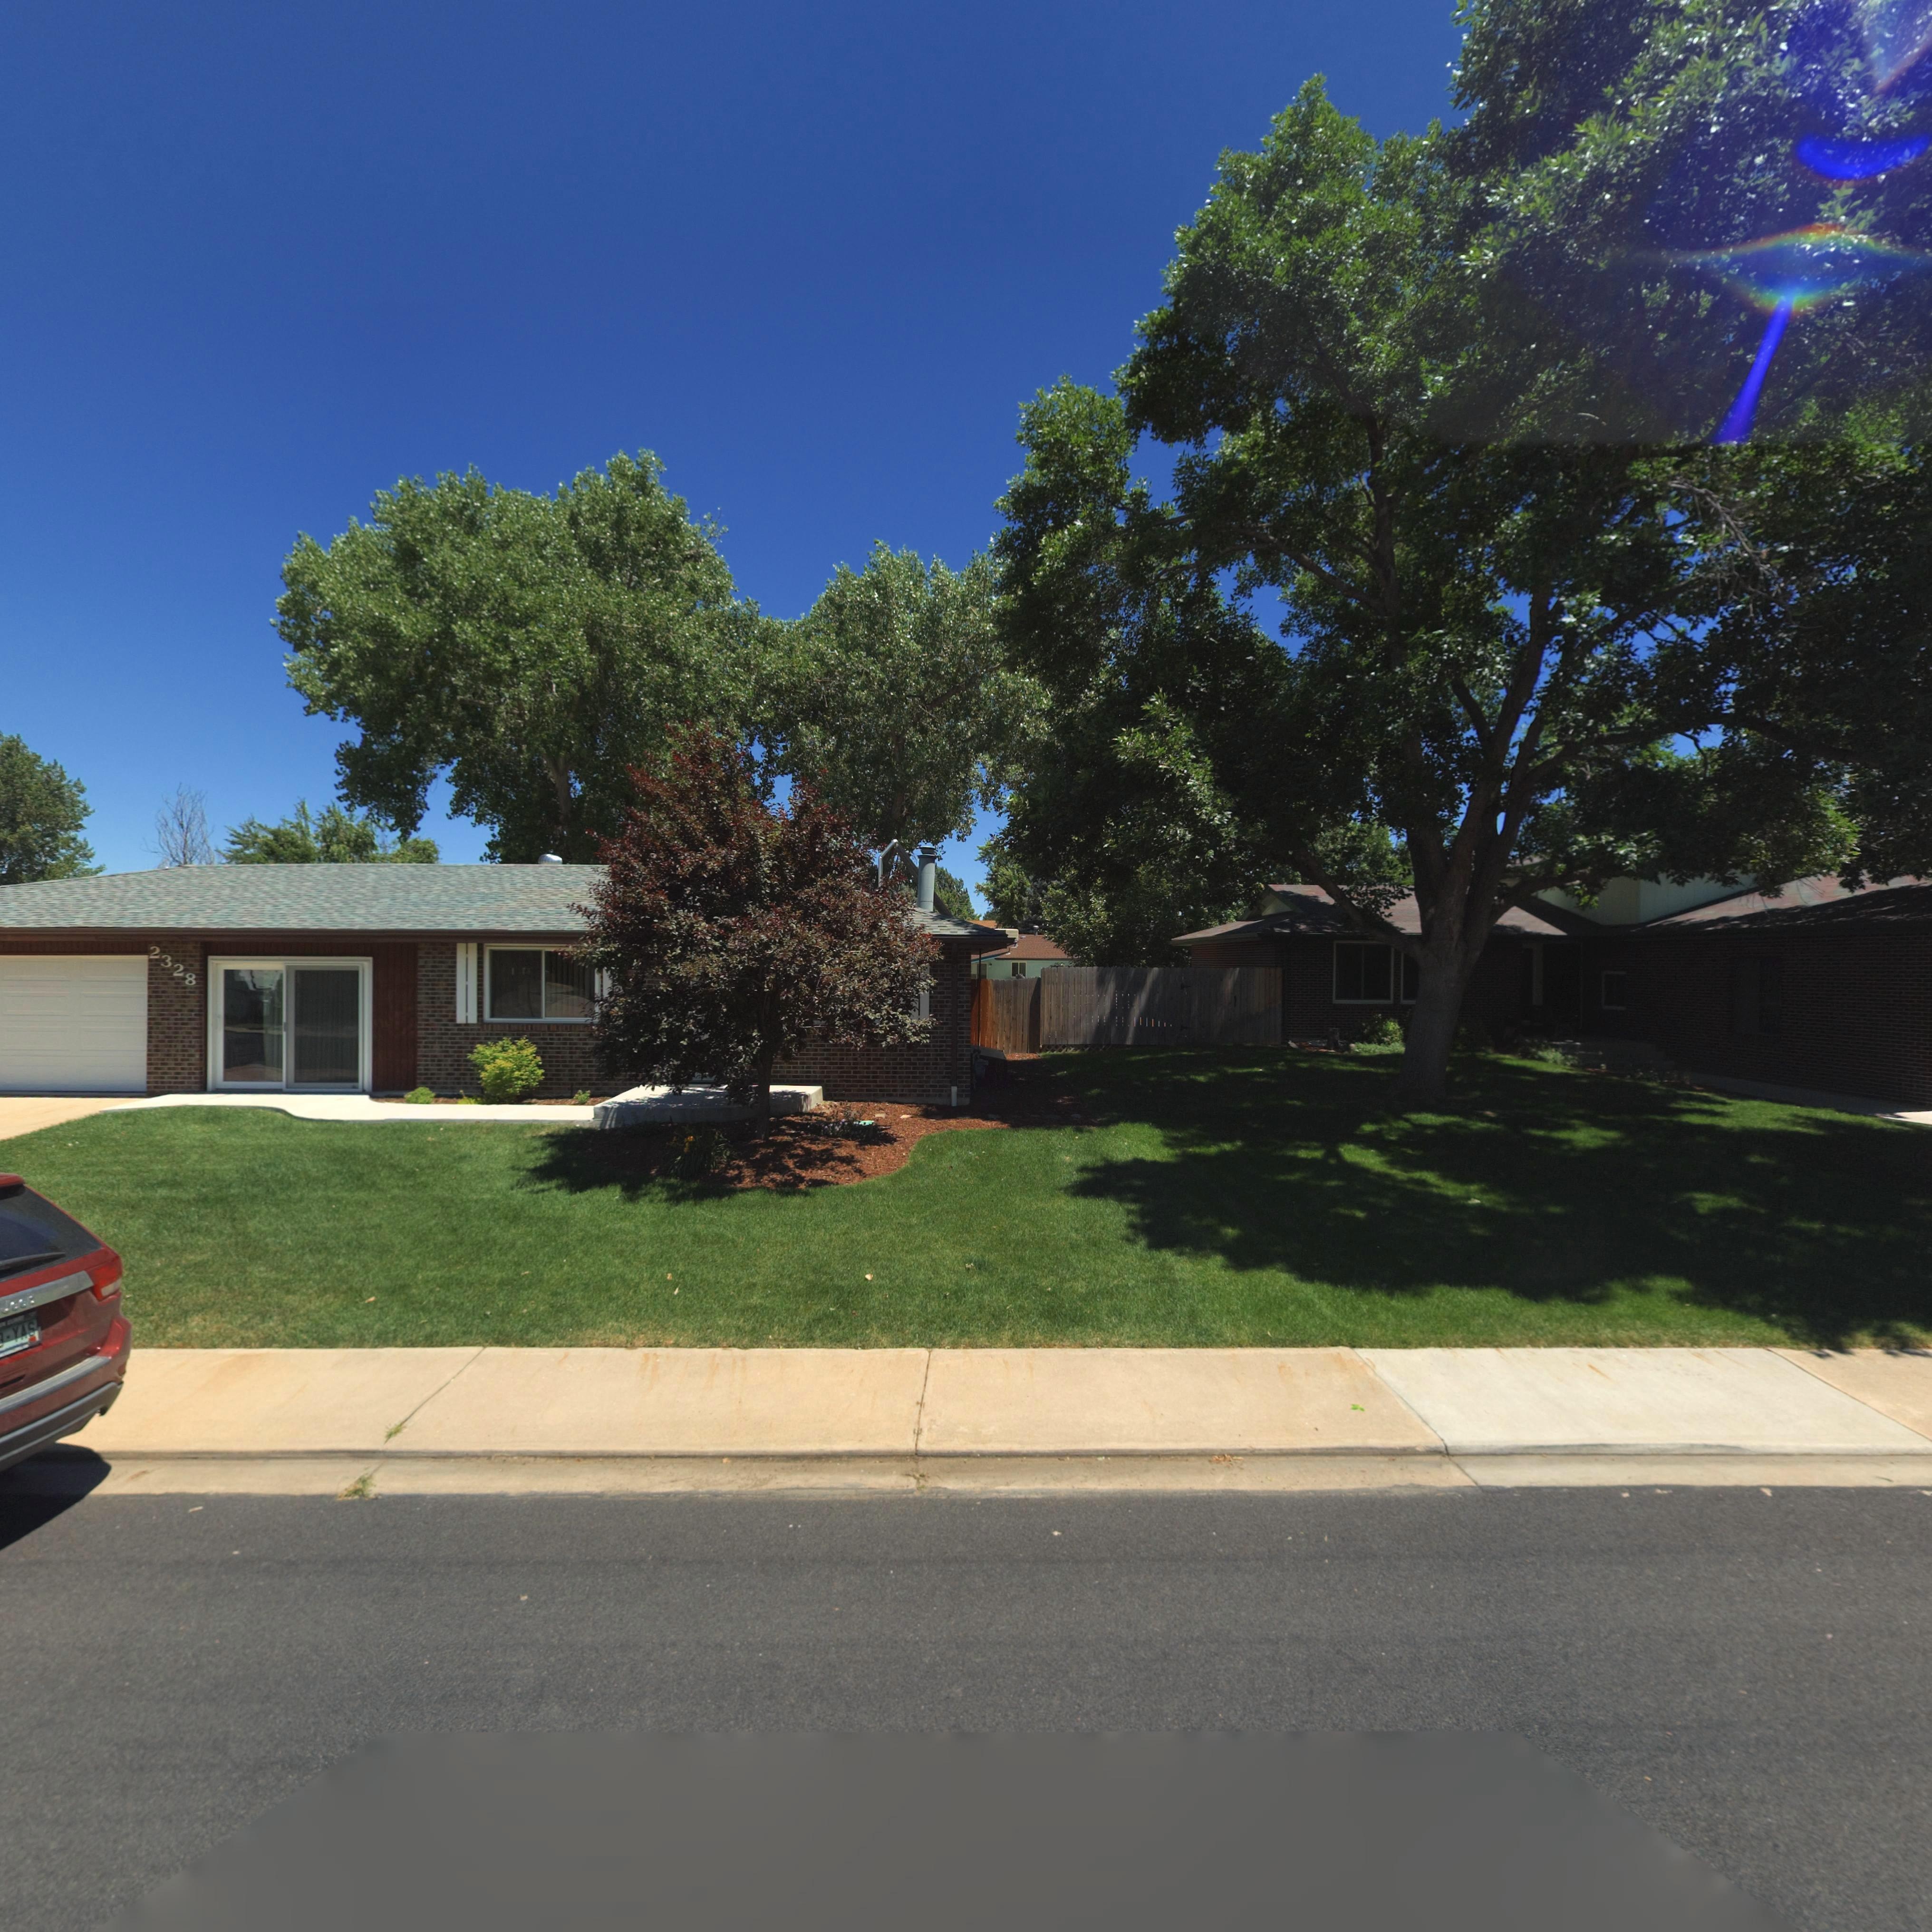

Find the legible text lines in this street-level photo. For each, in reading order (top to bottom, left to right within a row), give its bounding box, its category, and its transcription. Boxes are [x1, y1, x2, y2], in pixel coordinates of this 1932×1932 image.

[149, 946, 197, 986] StreetNumber: 2328